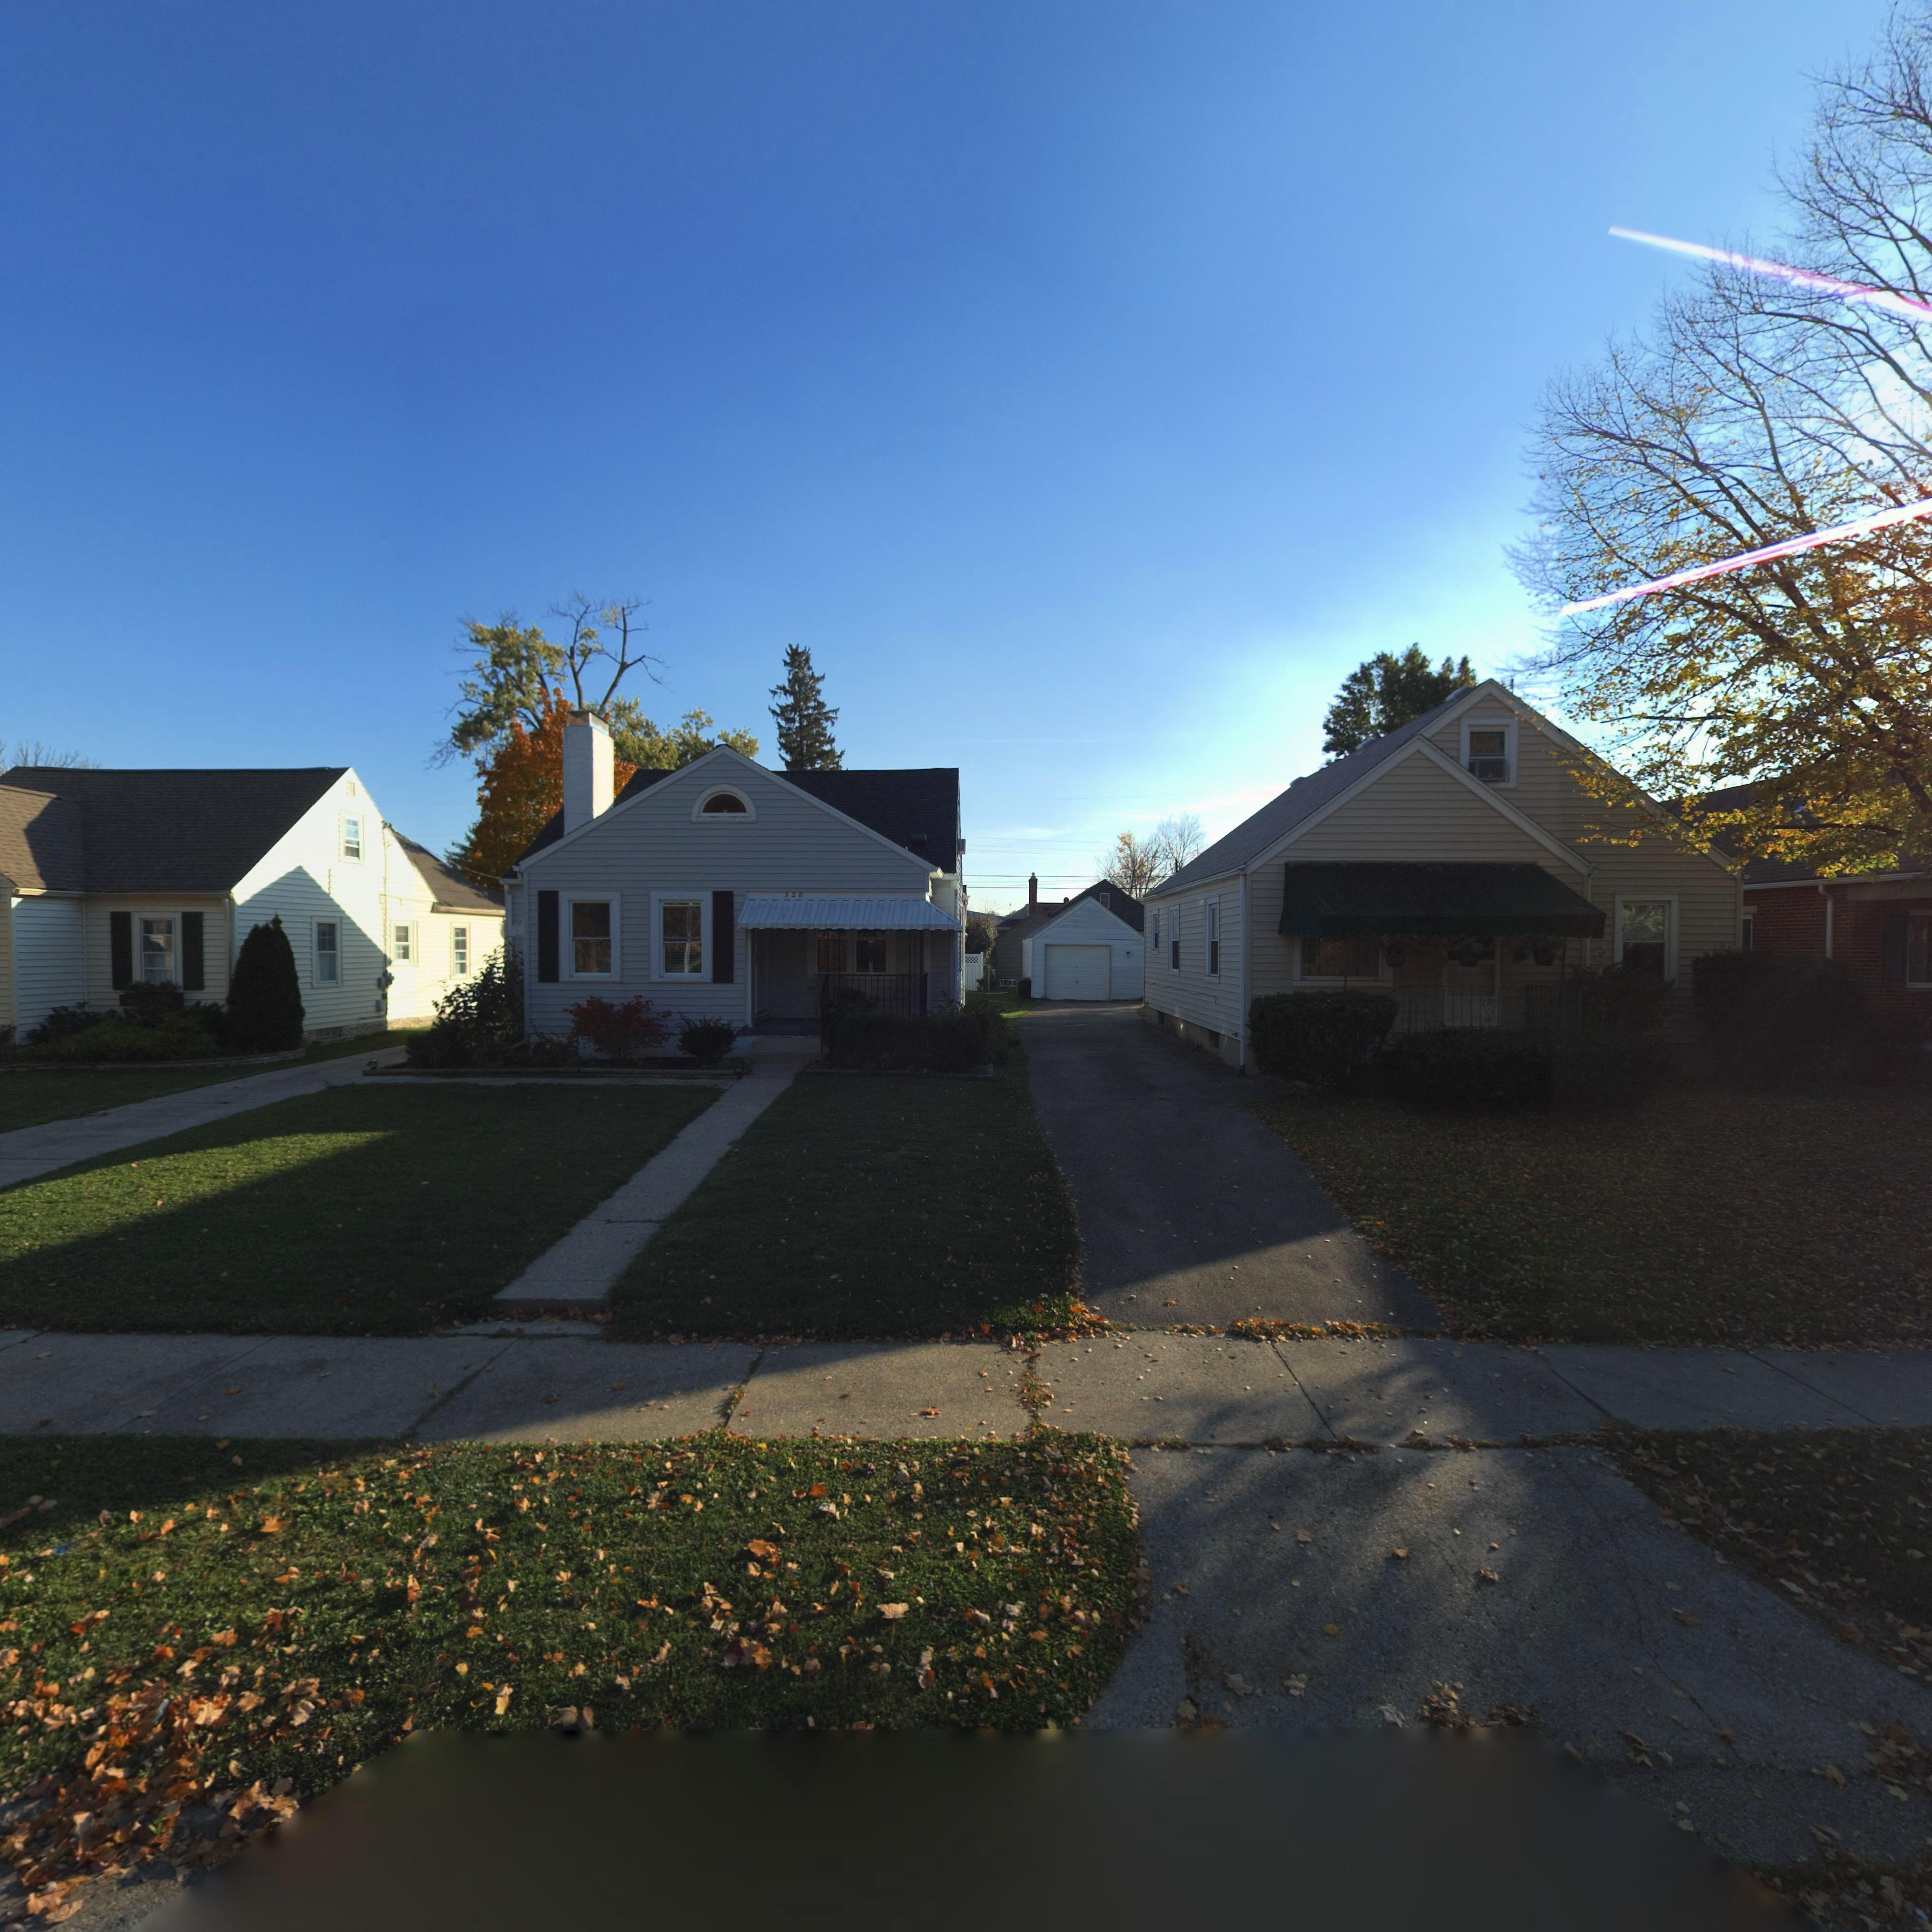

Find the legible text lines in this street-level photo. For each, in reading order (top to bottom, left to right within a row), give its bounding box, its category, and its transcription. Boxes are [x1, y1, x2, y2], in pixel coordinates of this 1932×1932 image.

[783, 891, 803, 898] StreetNumber: 328